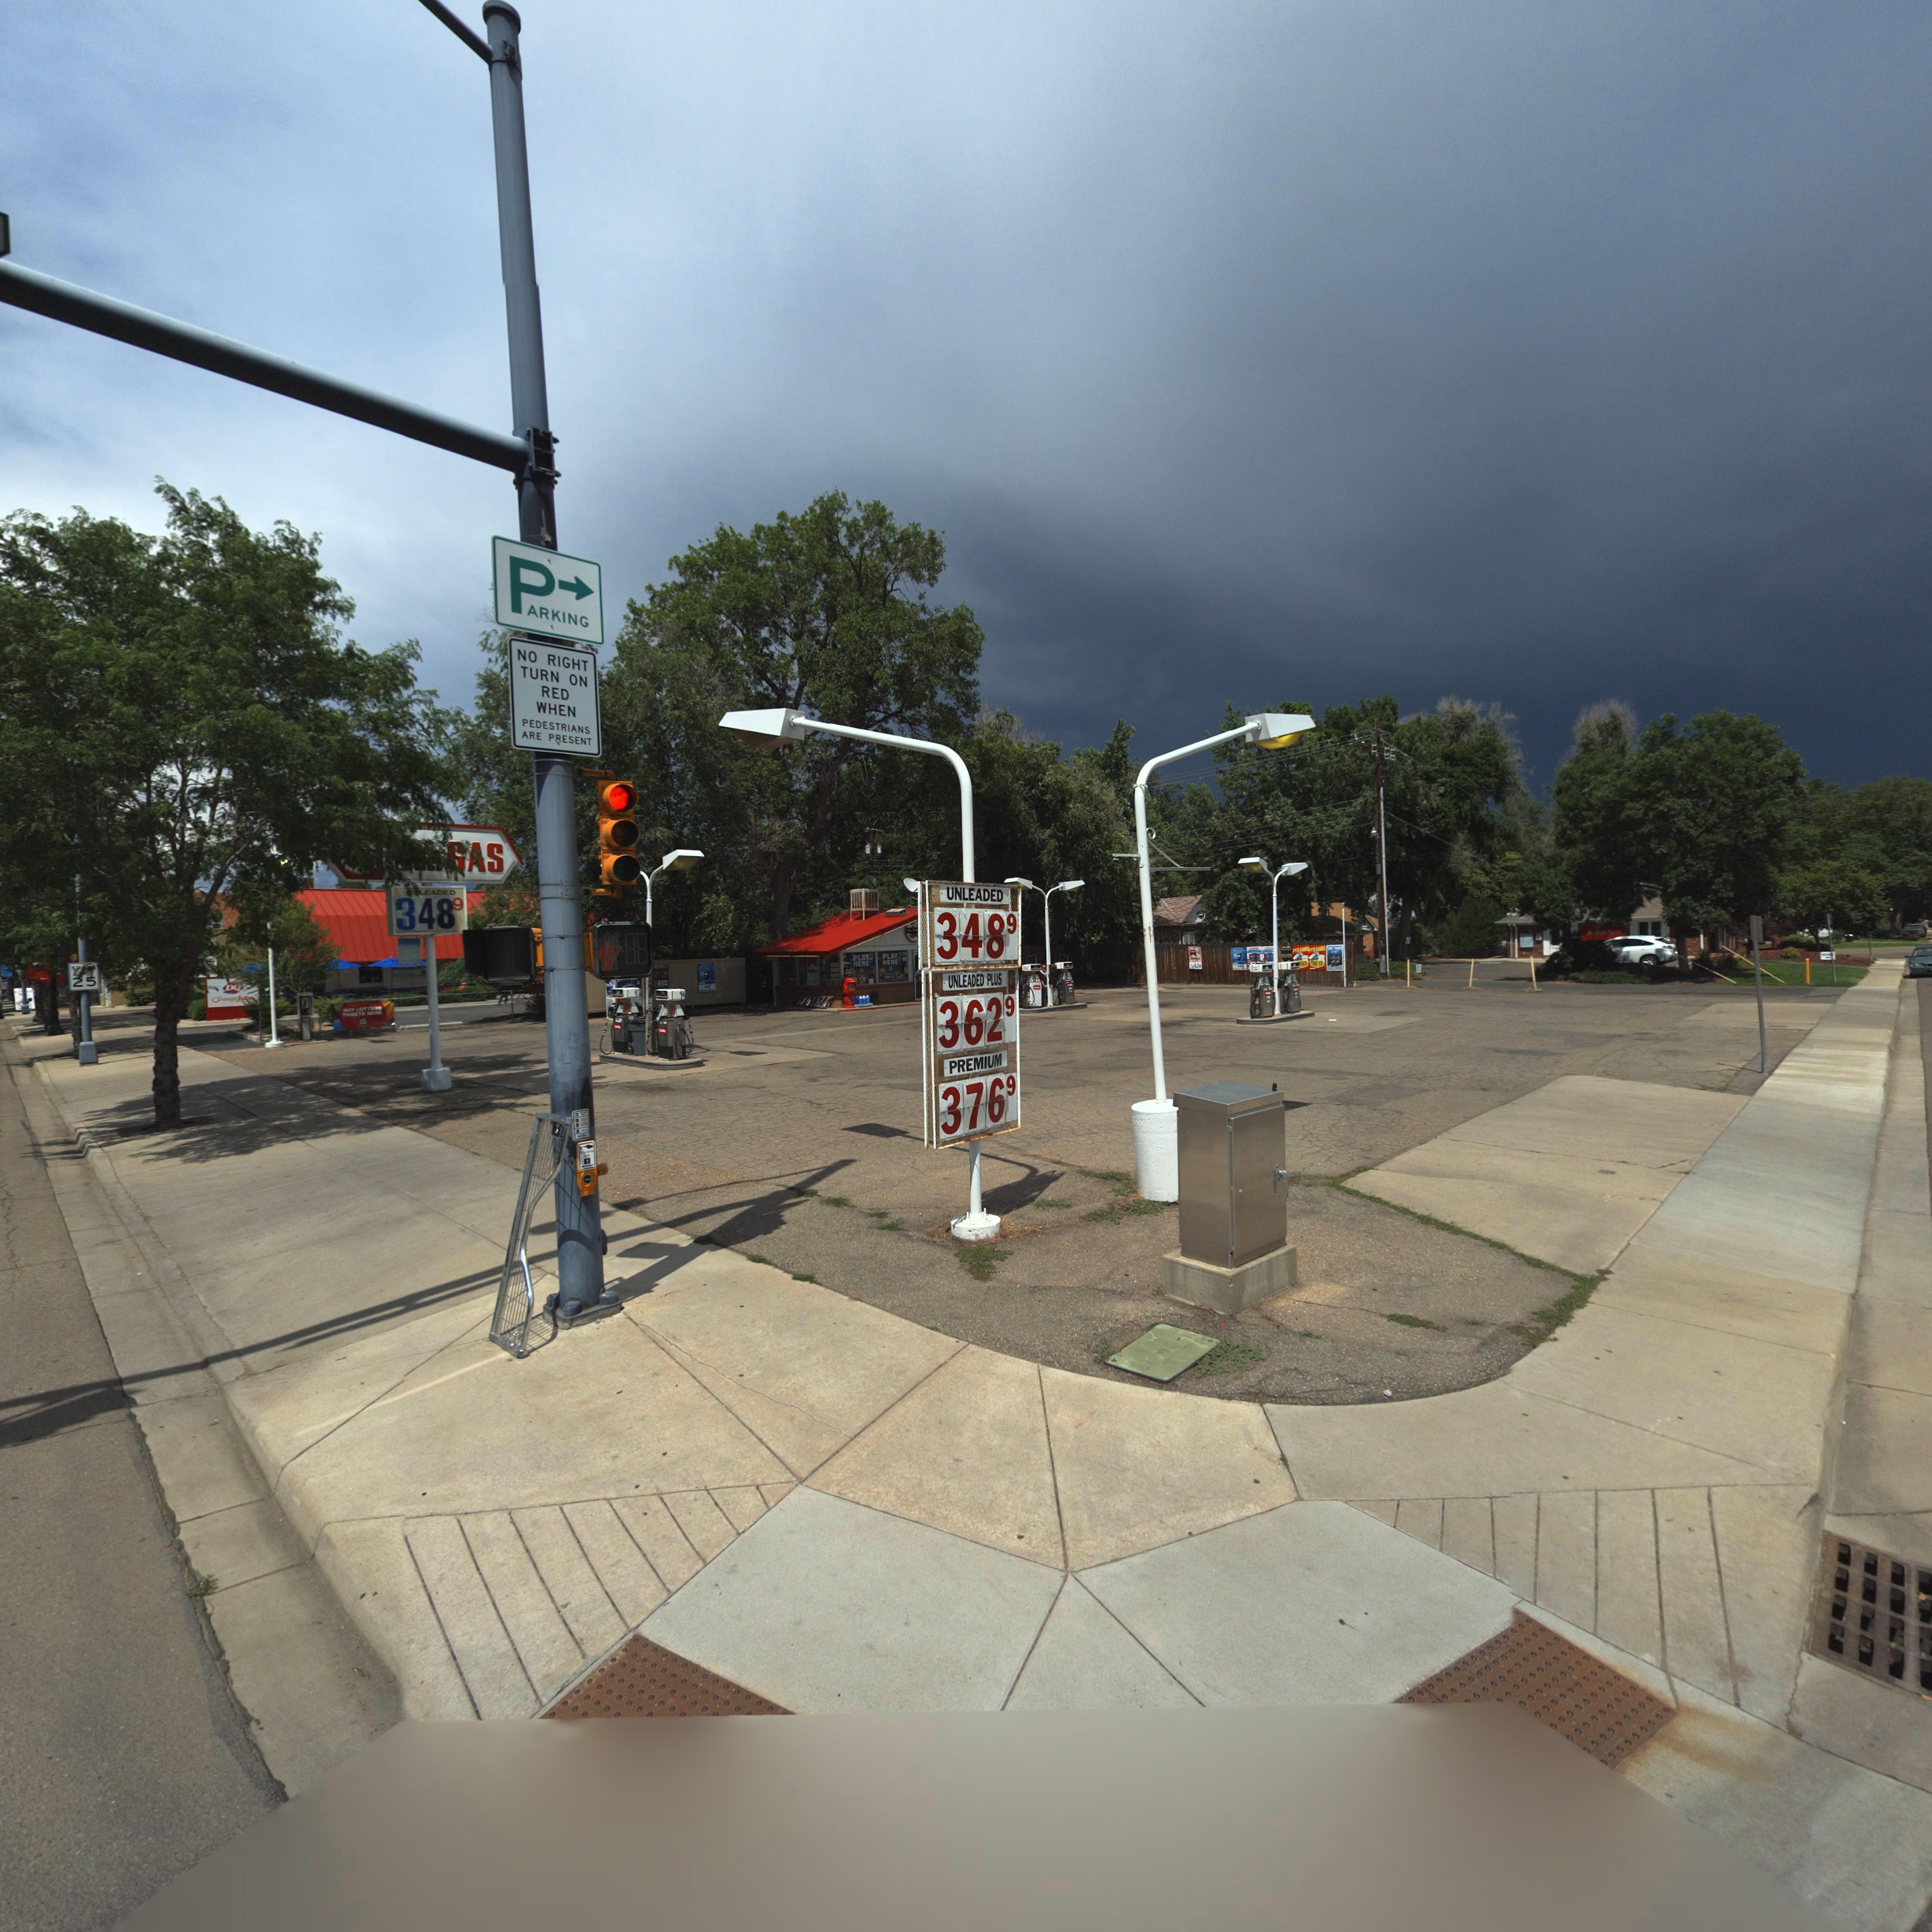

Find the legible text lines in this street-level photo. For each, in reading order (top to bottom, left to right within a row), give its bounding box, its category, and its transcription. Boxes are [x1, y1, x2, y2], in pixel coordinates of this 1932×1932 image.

[907, 928, 918, 932] BusinessName: S**-O-*
[225, 983, 241, 992] BusinessName: DQ
[211, 995, 254, 1003] BusinessName: O****ge J***